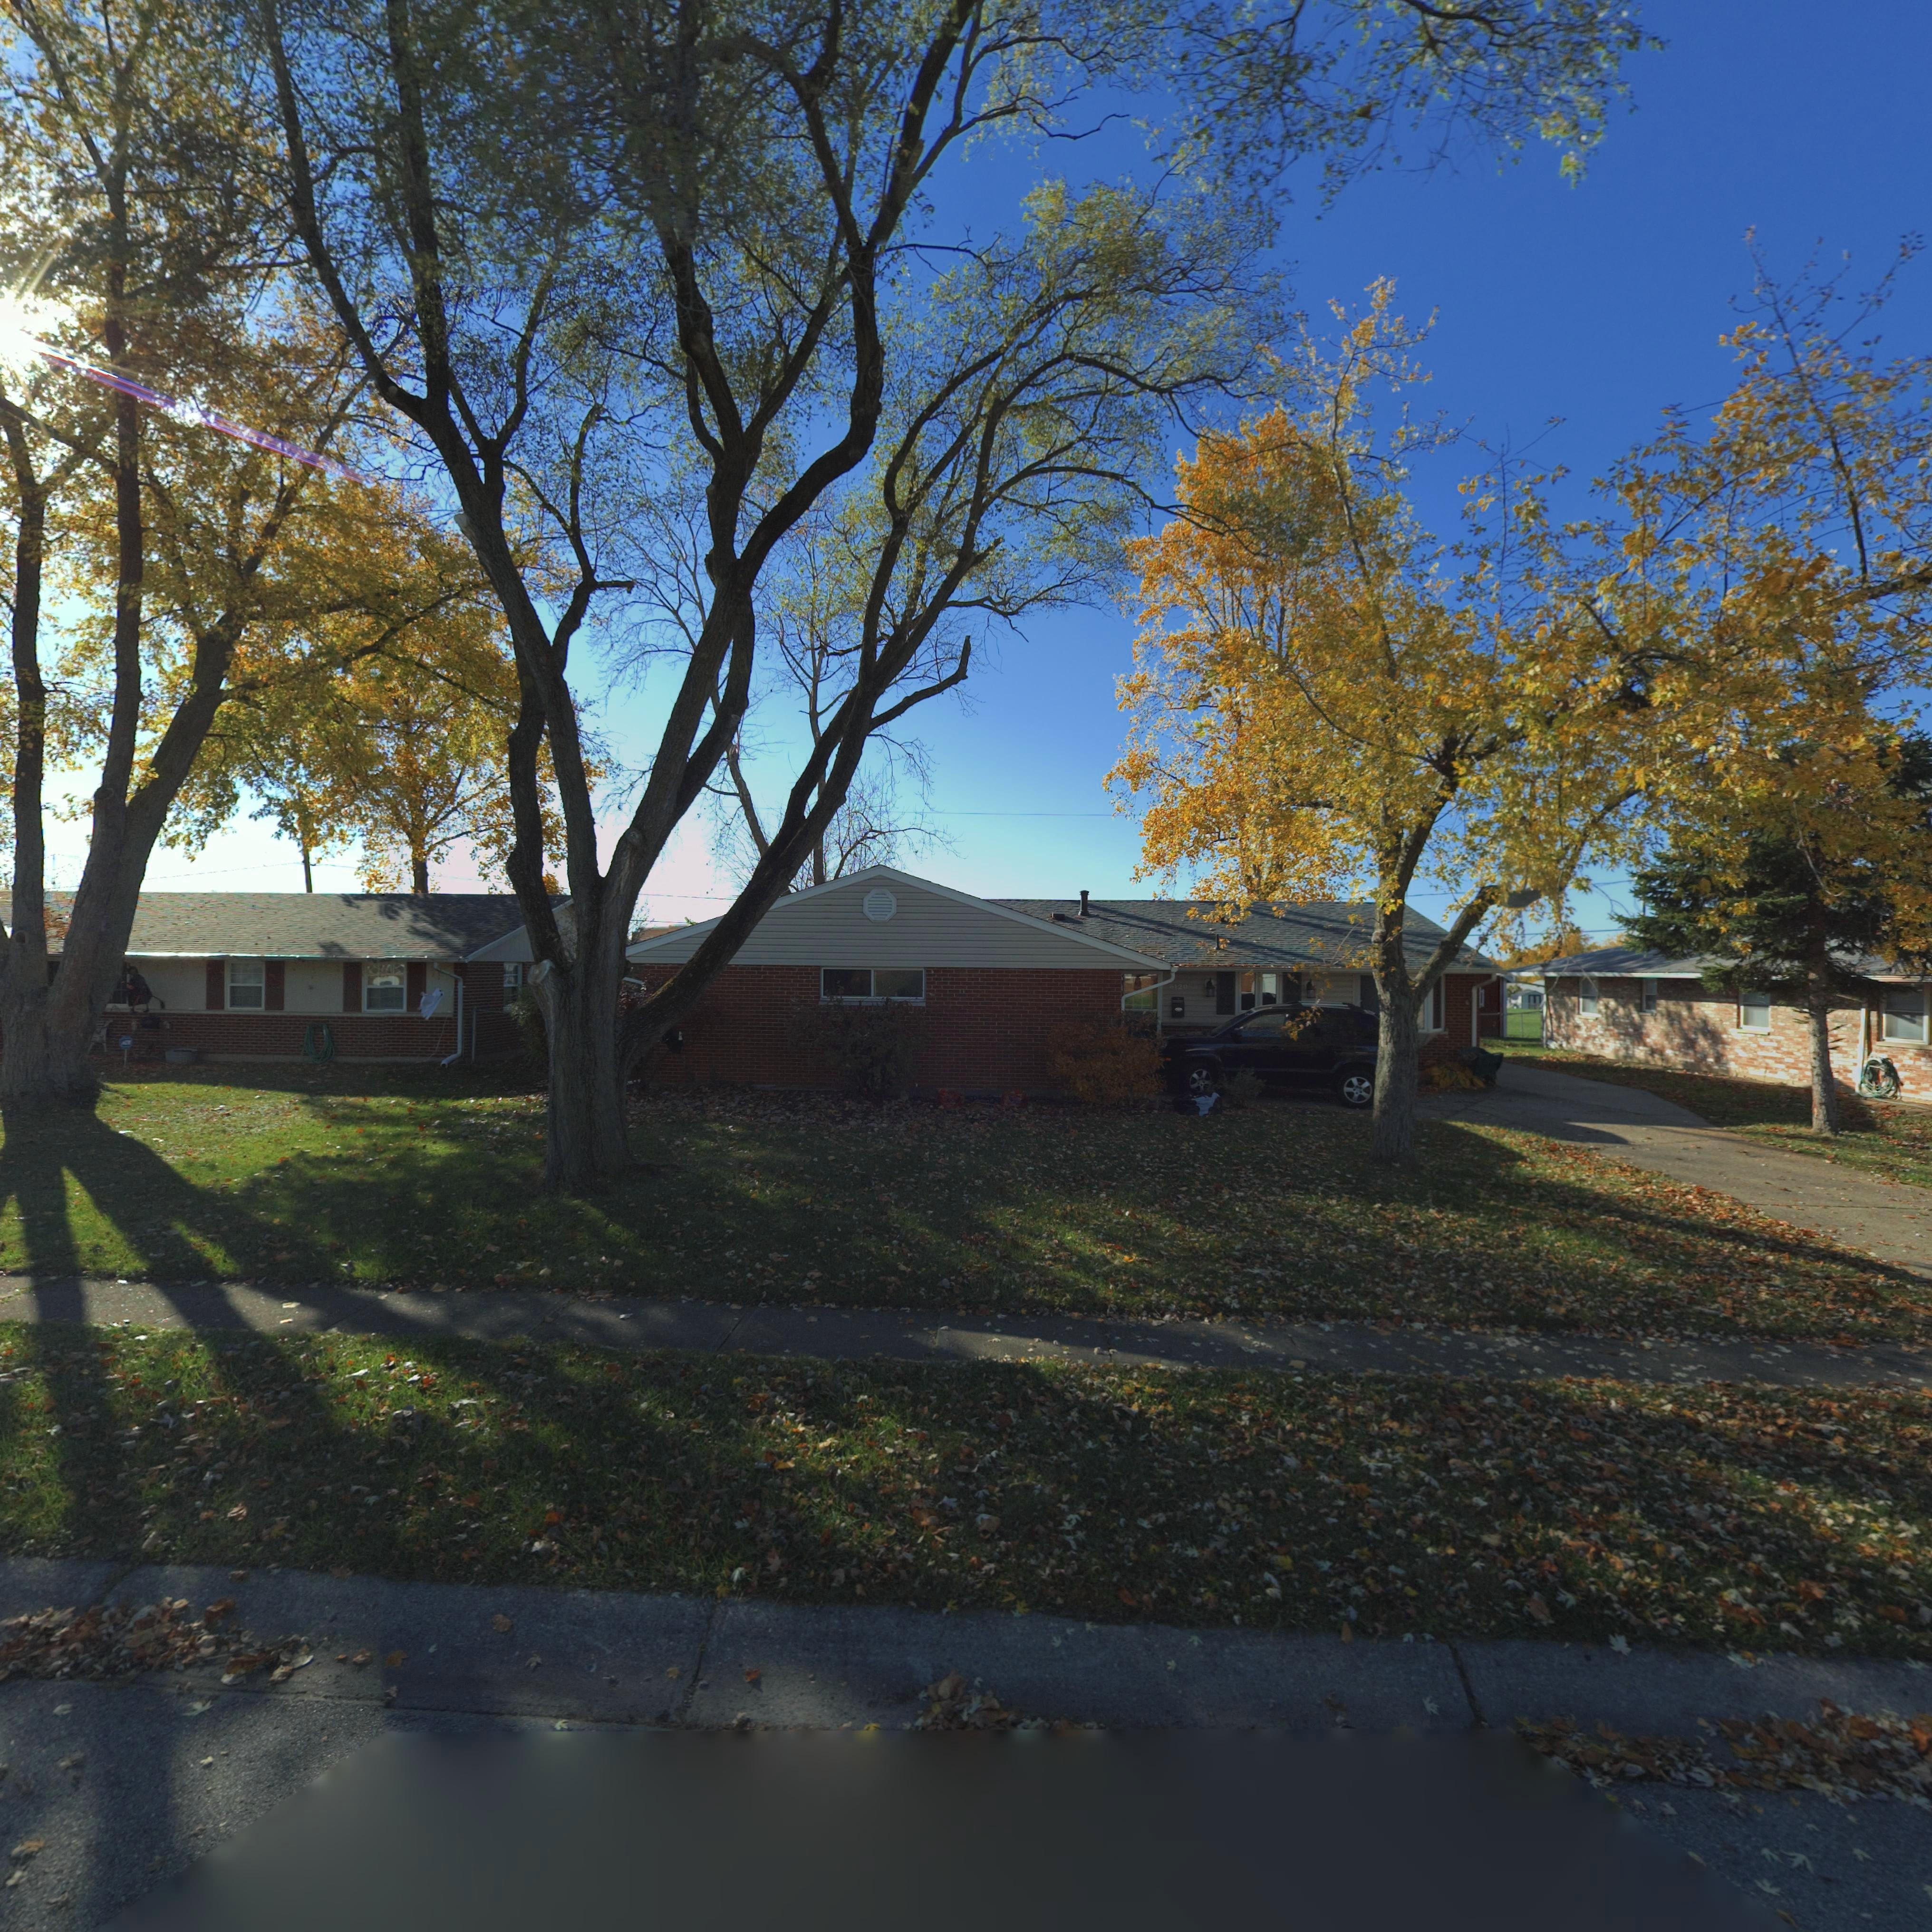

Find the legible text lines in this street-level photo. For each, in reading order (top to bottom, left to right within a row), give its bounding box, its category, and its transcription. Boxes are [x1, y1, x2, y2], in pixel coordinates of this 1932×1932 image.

[1169, 983, 1188, 990] StreetNumber: 6120